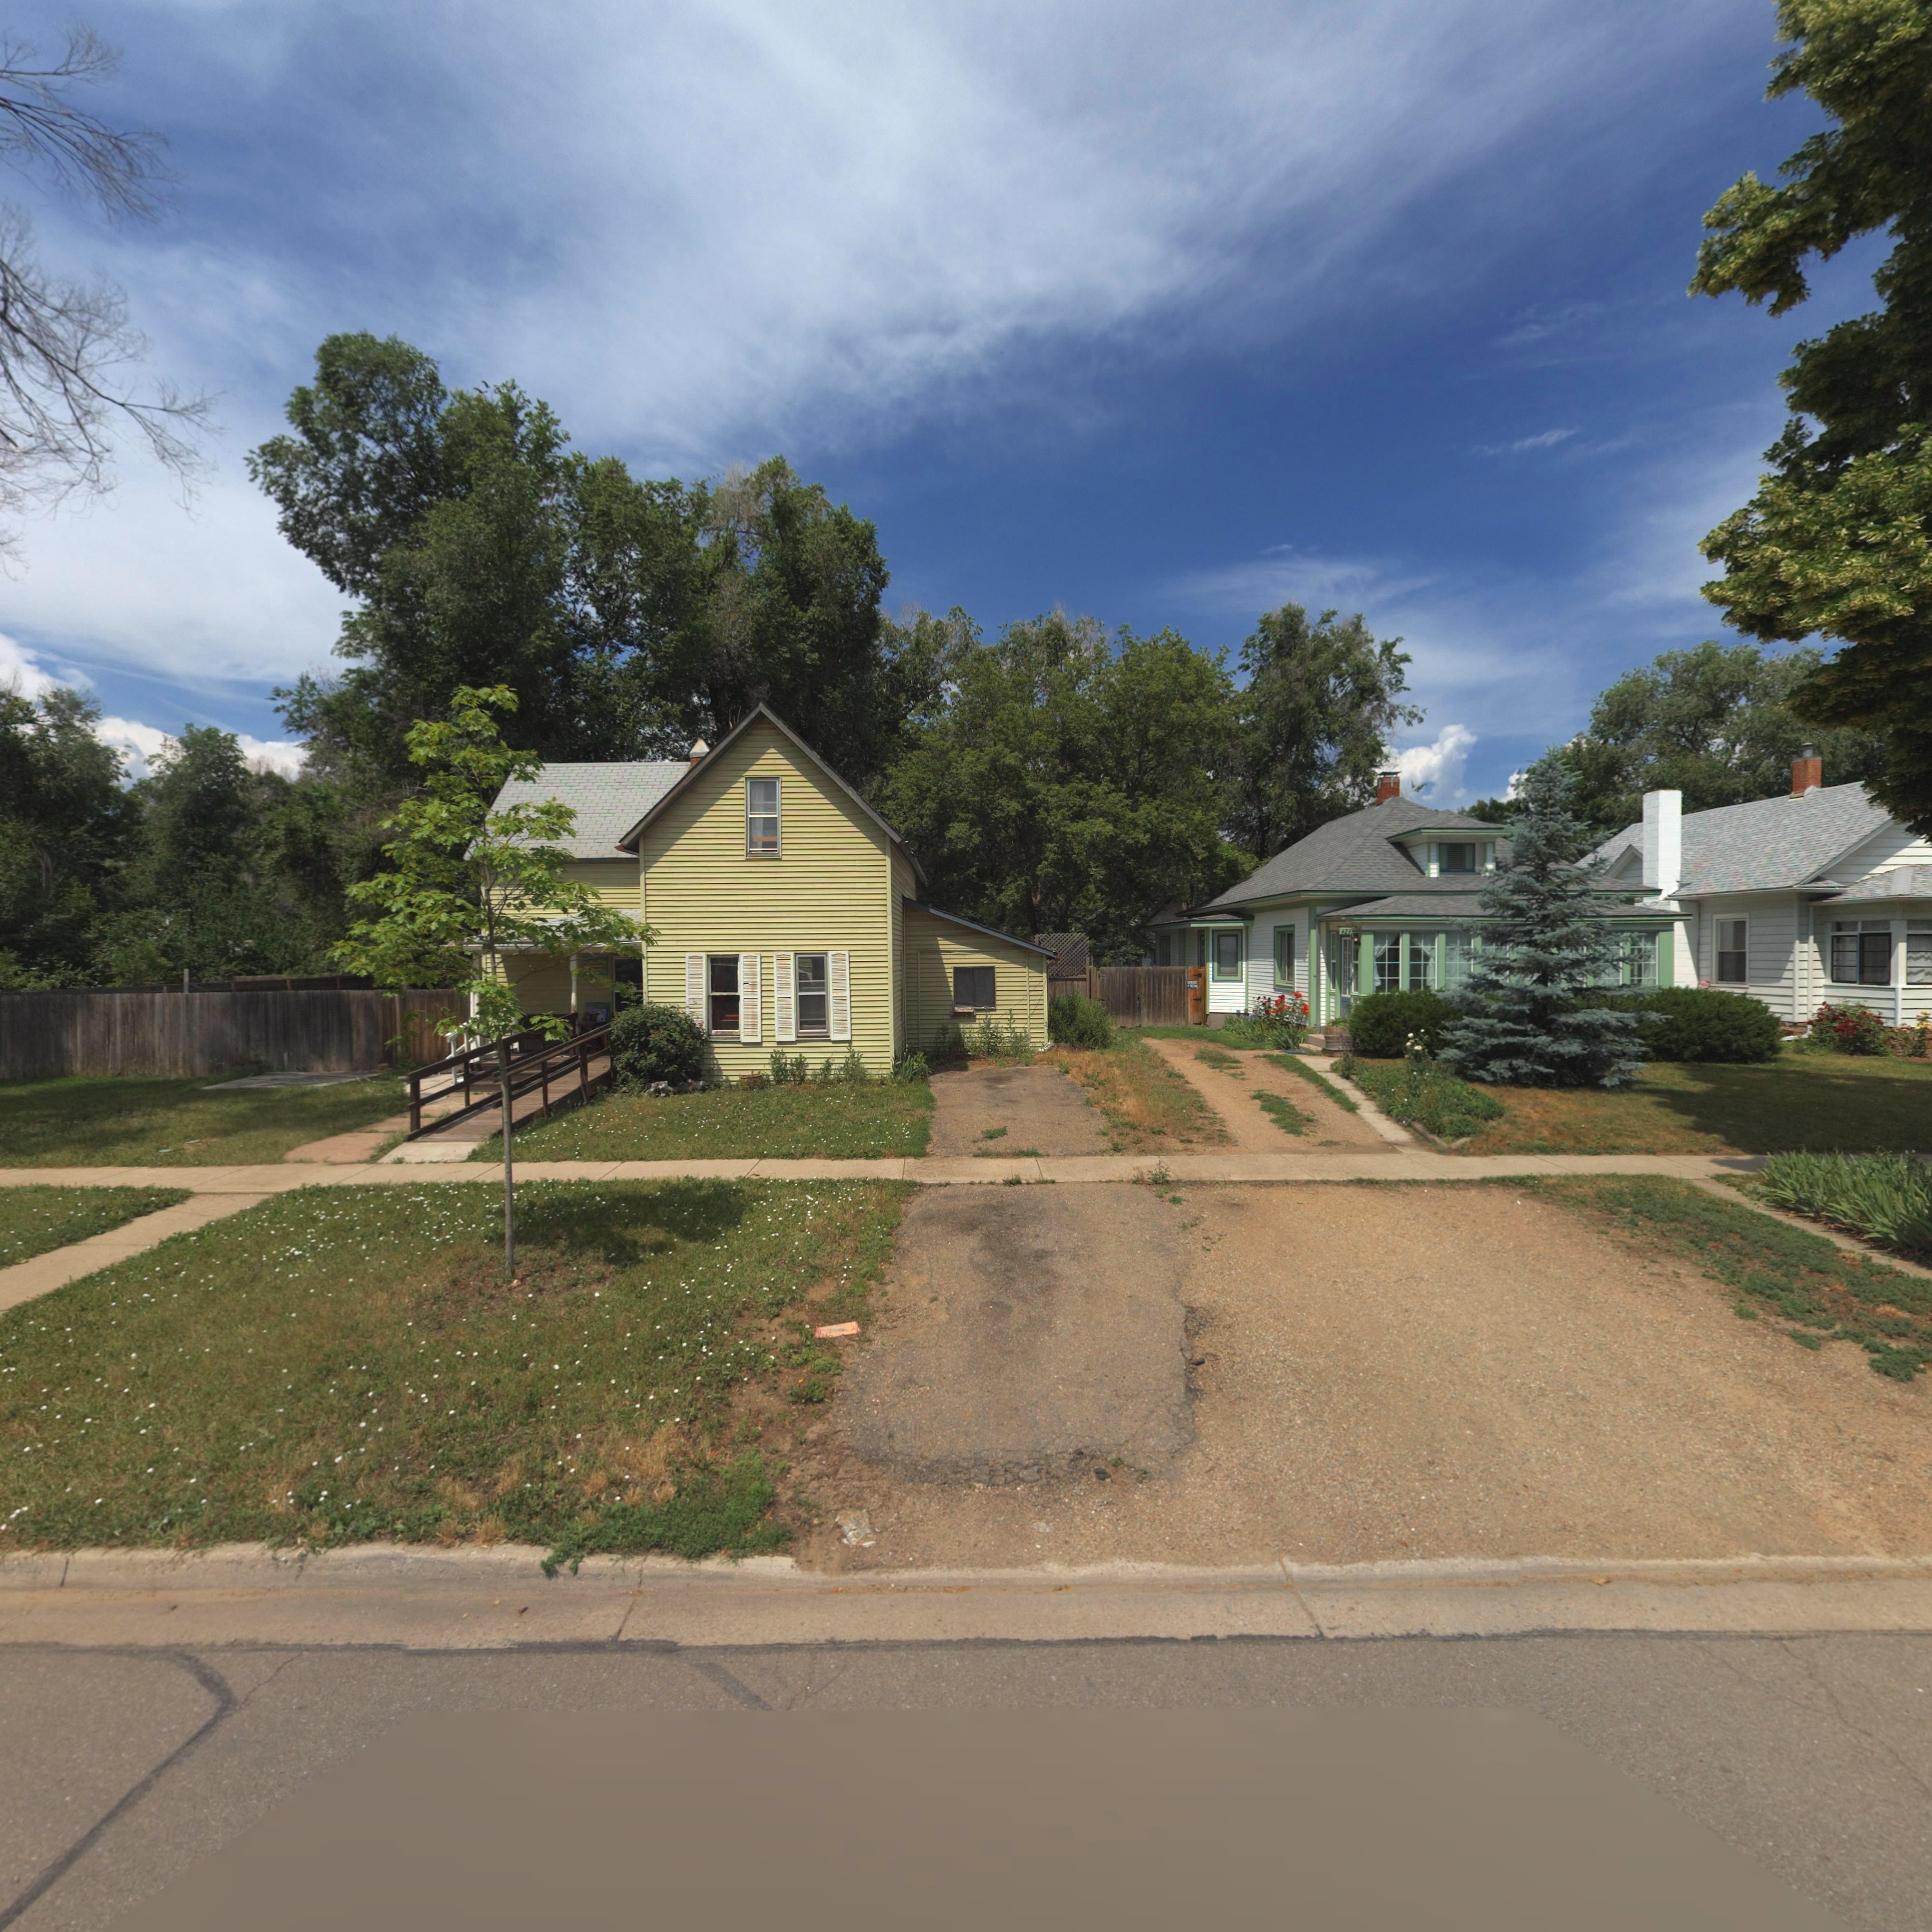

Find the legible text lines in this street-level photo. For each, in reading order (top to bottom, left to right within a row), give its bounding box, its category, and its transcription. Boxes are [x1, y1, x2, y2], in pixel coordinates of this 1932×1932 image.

[1341, 928, 1351, 935] StreetNumber: 429